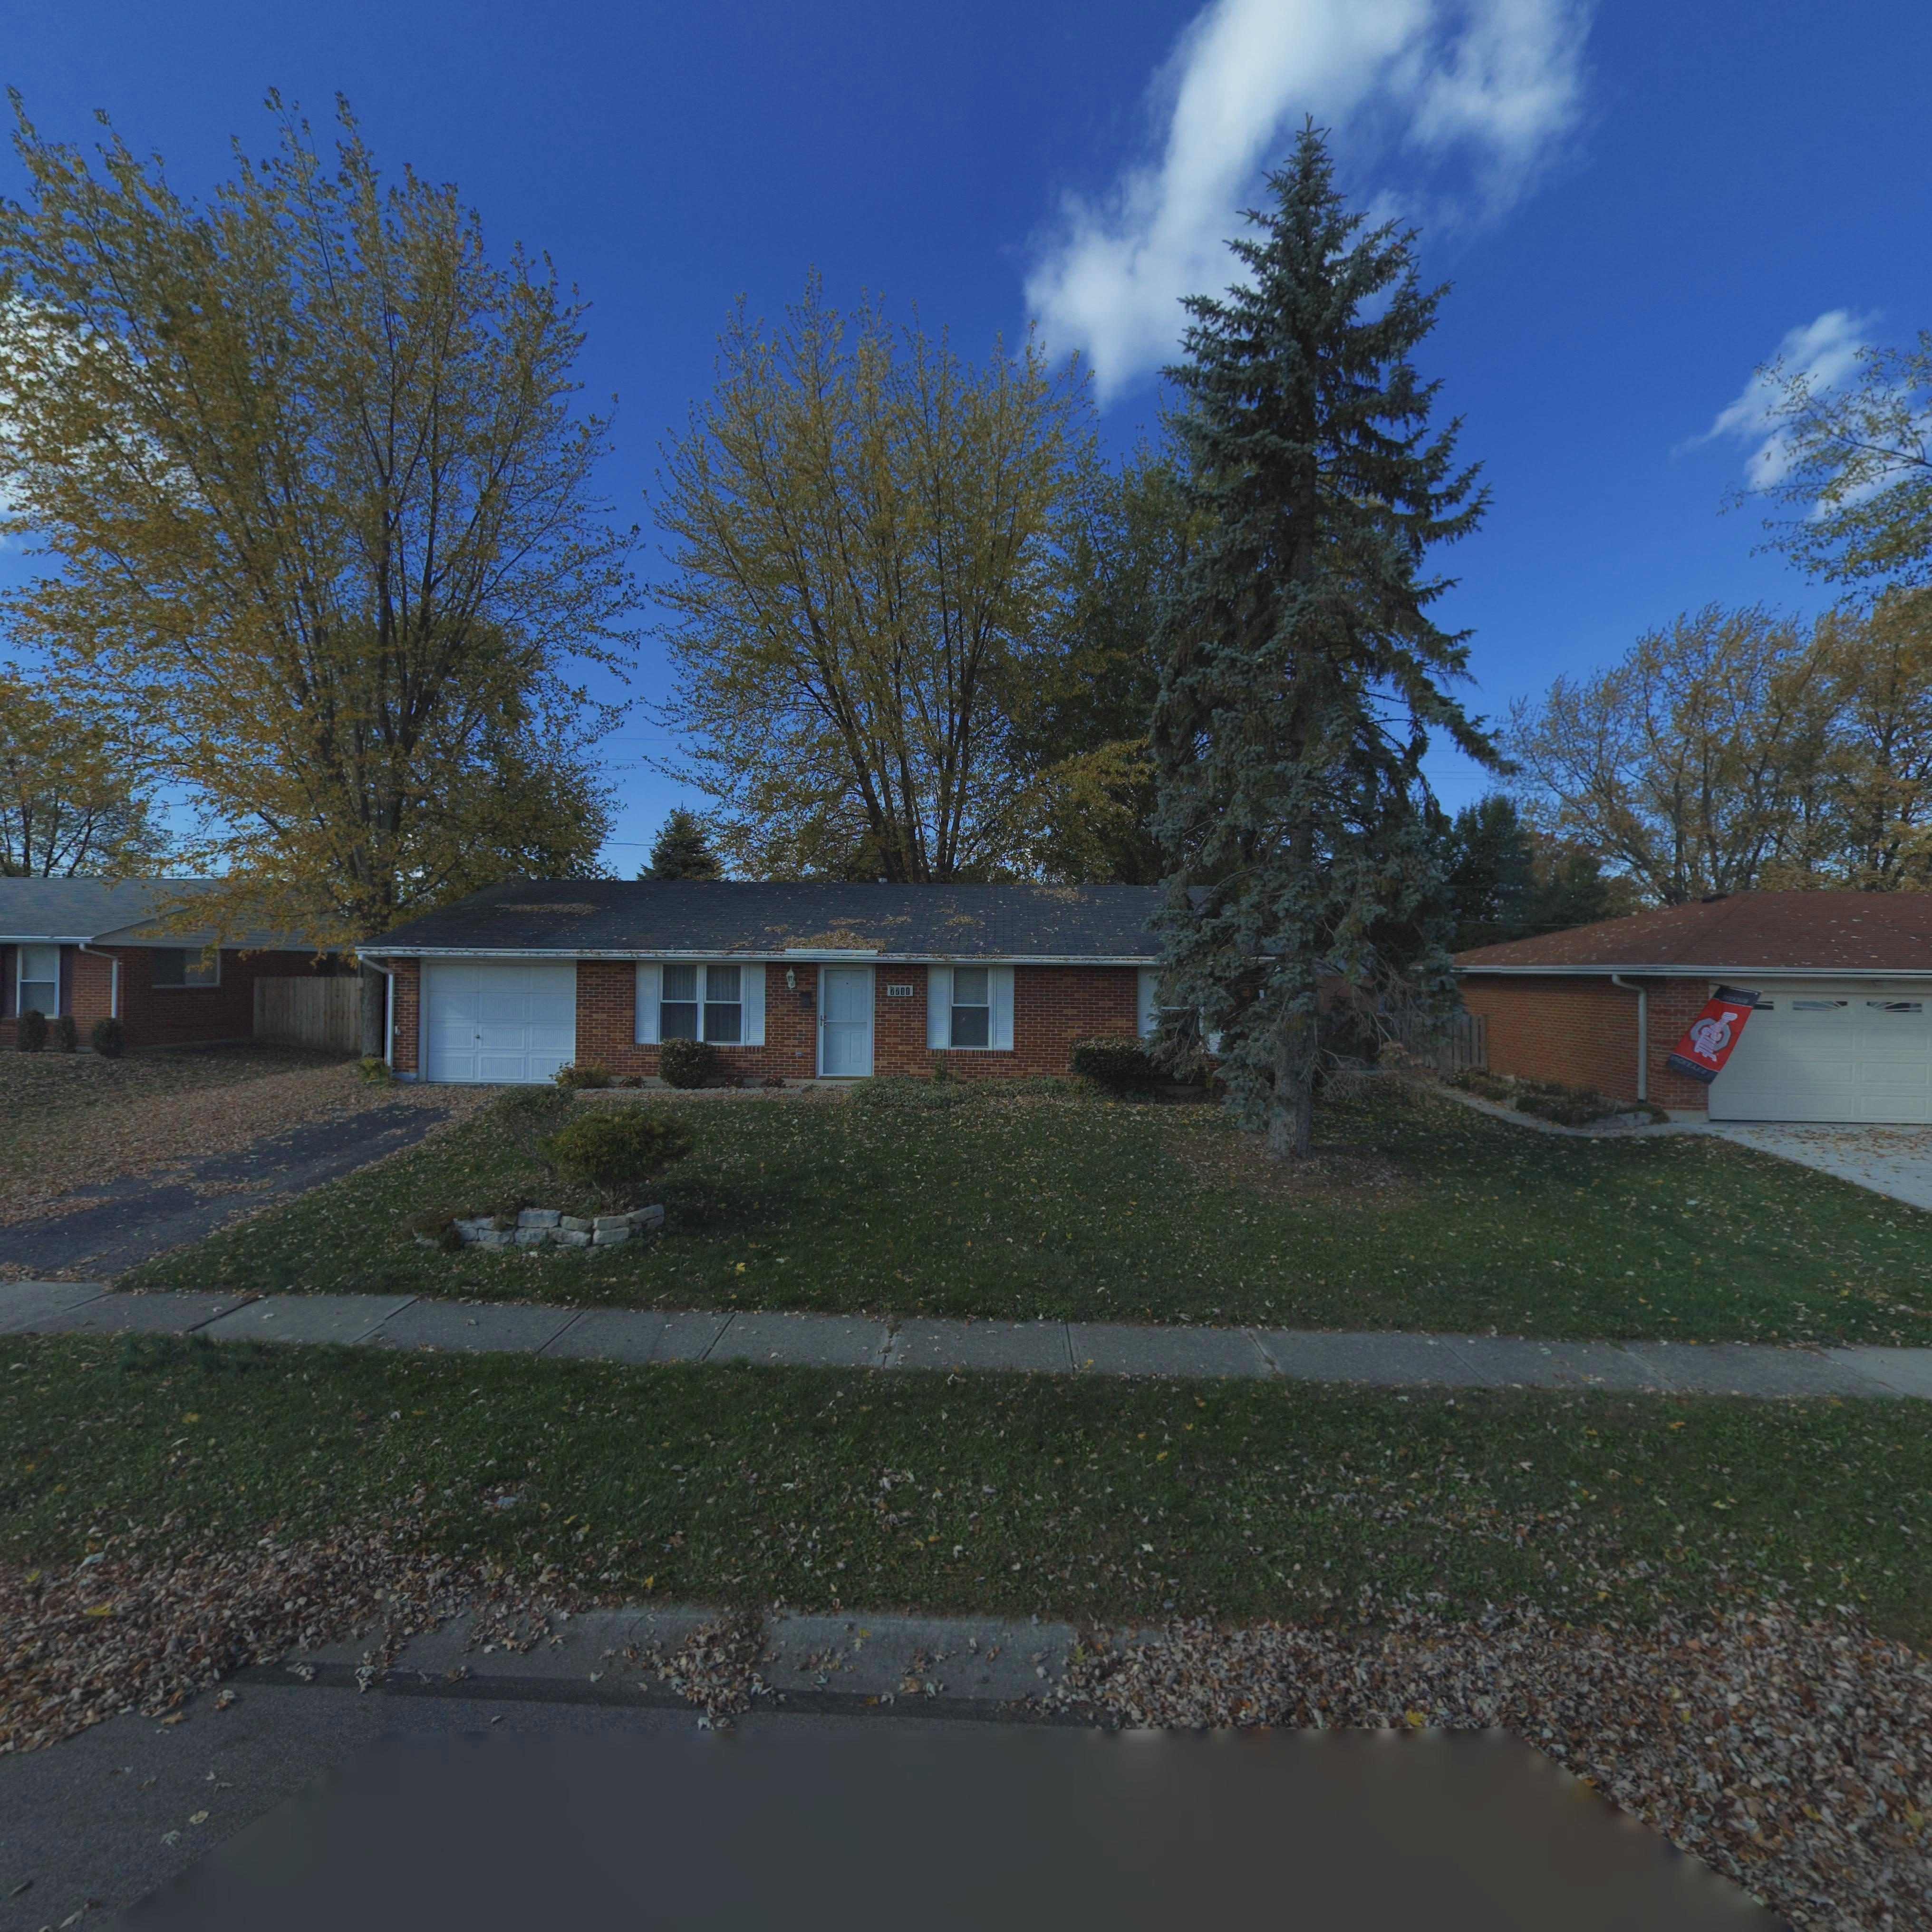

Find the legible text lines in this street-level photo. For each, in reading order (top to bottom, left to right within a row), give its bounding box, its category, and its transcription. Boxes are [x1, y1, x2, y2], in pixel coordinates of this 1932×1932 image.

[890, 987, 909, 995] StreetNumber: 7711